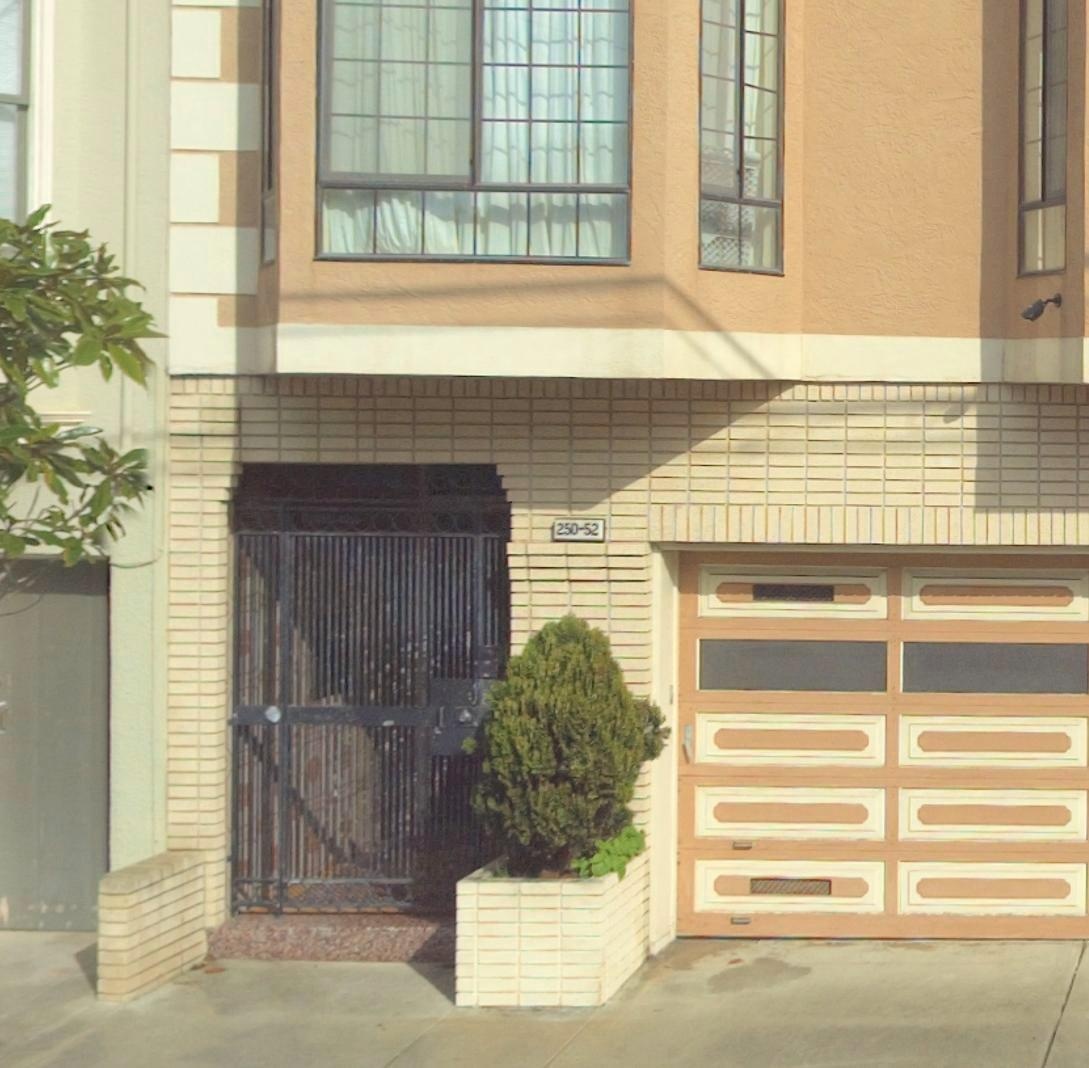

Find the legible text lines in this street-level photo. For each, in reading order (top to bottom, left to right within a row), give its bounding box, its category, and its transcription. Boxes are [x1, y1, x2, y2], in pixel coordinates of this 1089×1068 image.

[556, 521, 600, 537] StreetNumber: 250-52